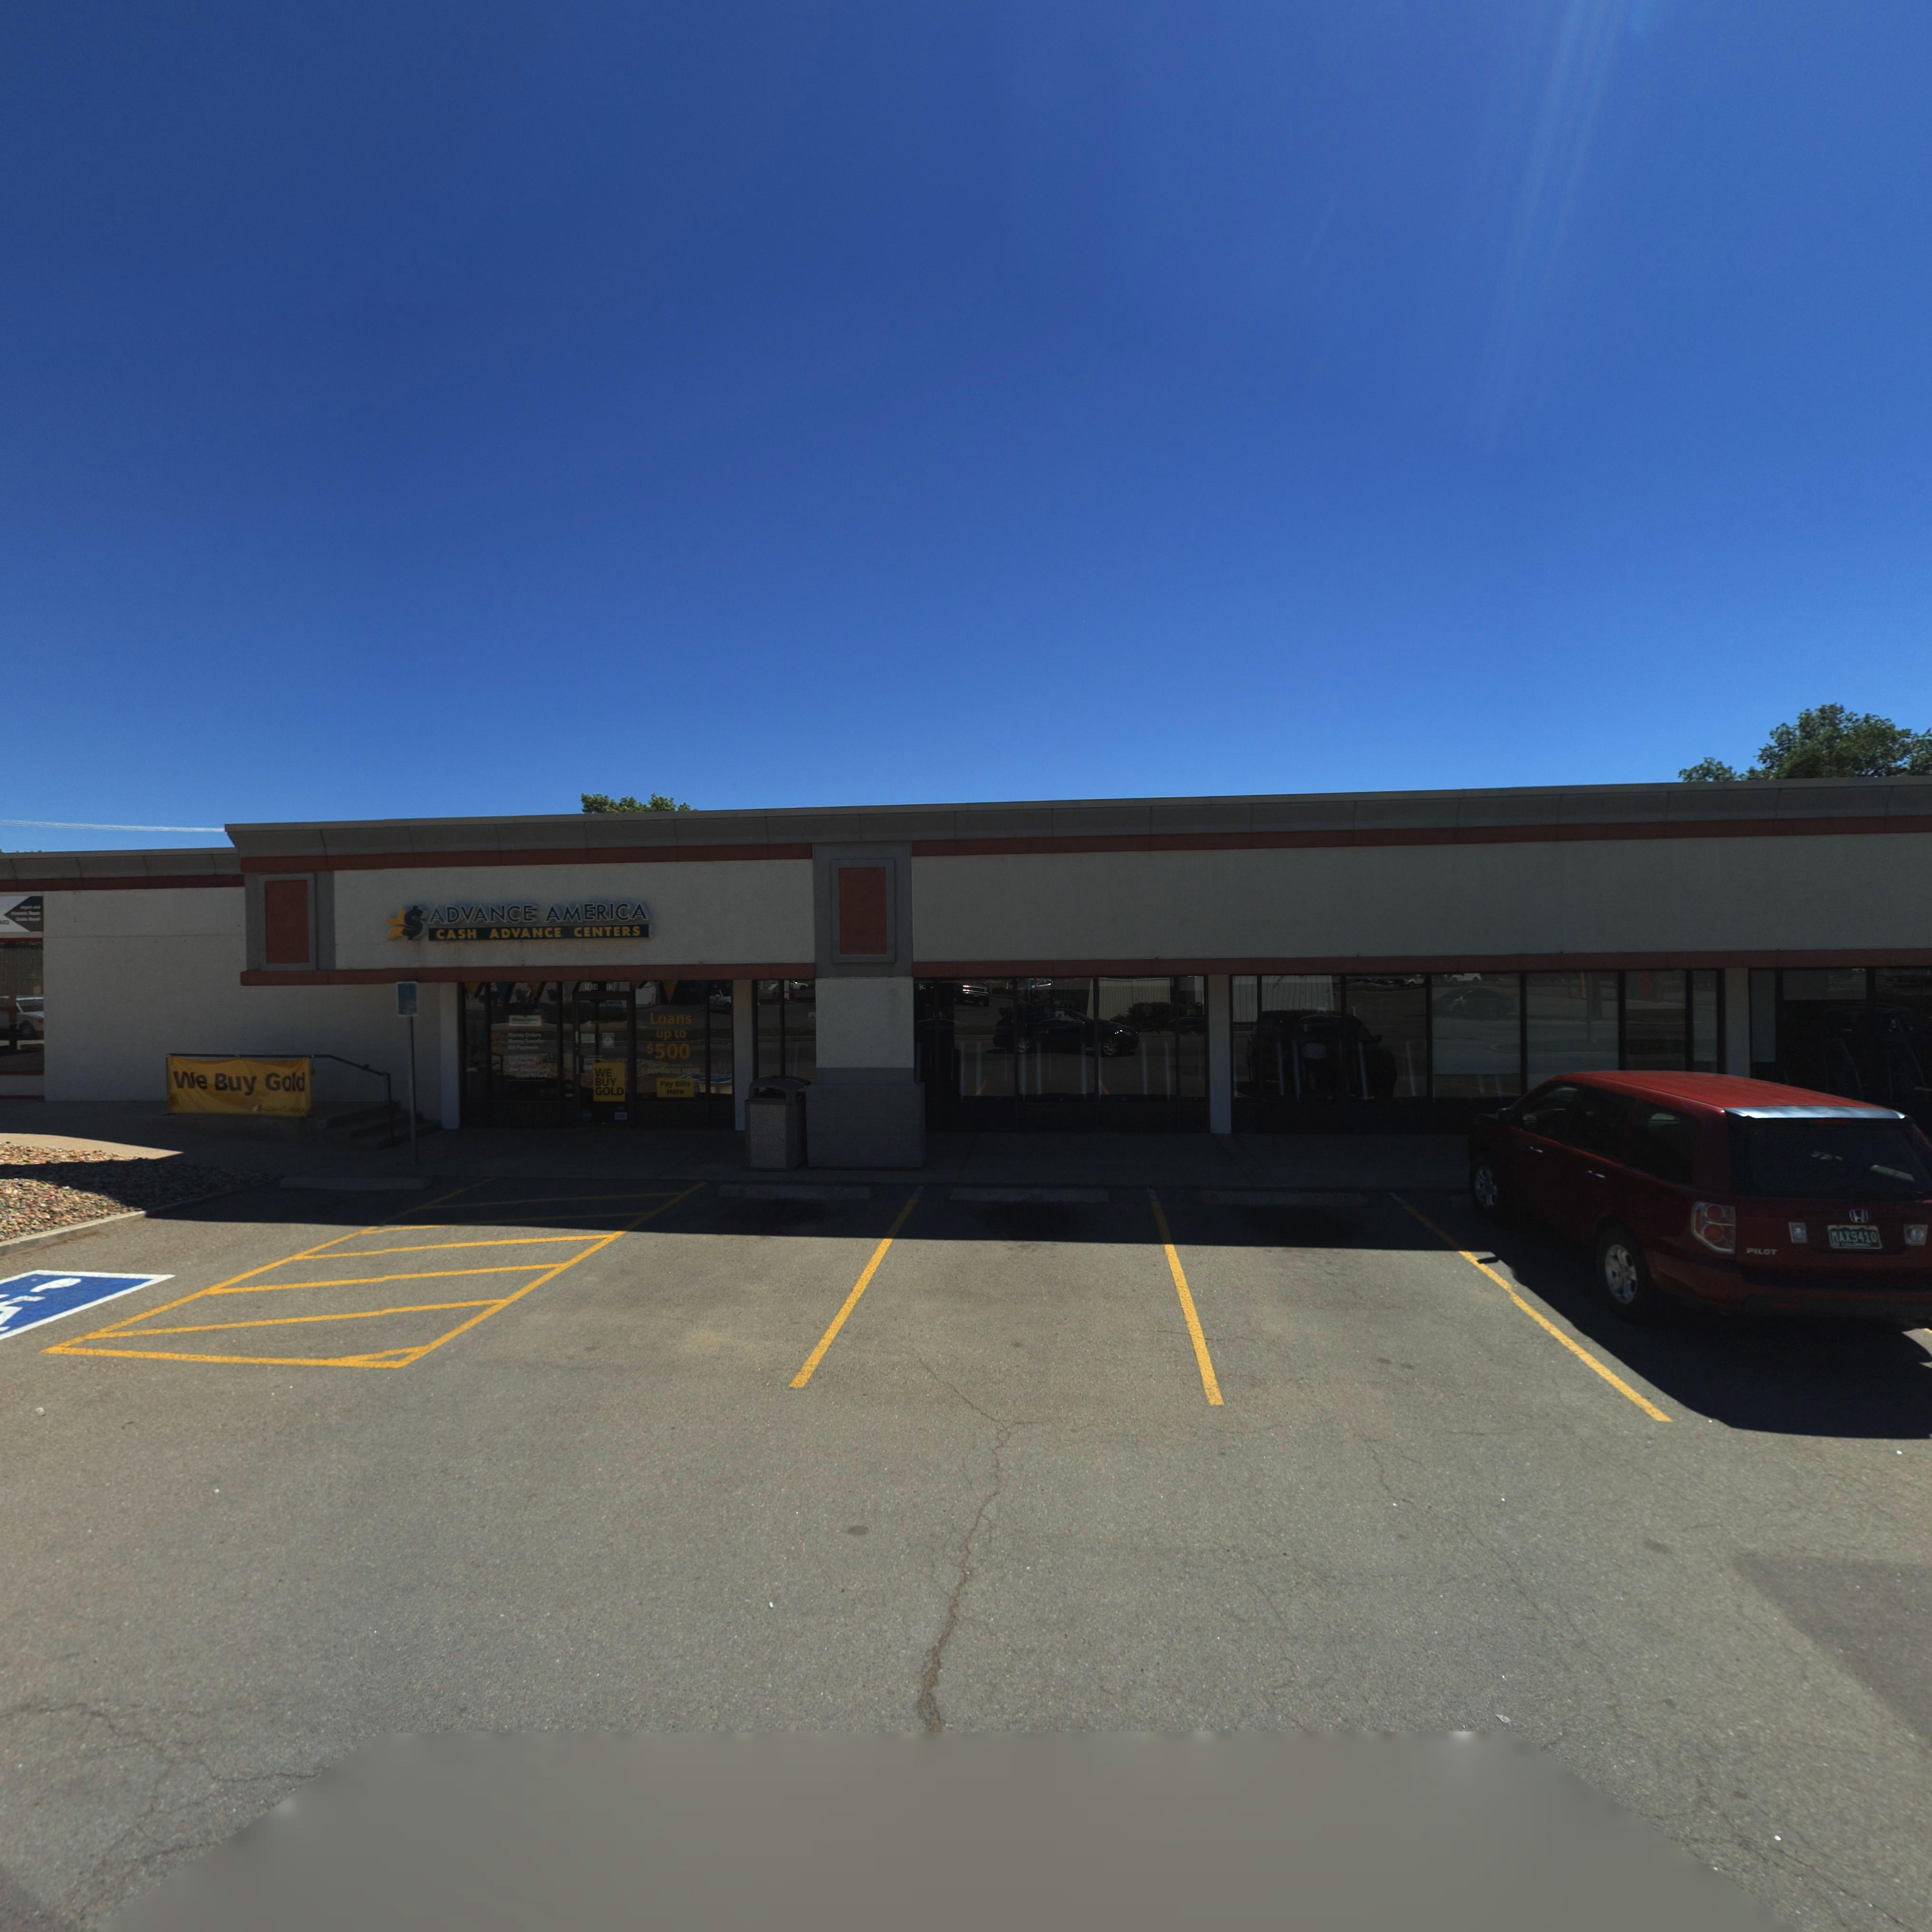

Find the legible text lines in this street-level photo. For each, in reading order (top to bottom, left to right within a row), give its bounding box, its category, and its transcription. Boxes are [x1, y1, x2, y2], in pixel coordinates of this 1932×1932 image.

[426, 901, 648, 924] BusinessName: ADVANCE AMERICA
[436, 926, 640, 939] BusinessName: CASH ADVANCE CENTERS
[585, 984, 613, 990] StreetNumber: 1834 17
[261, 1105, 306, 1113] BusinessName: AD***** A*E**CA